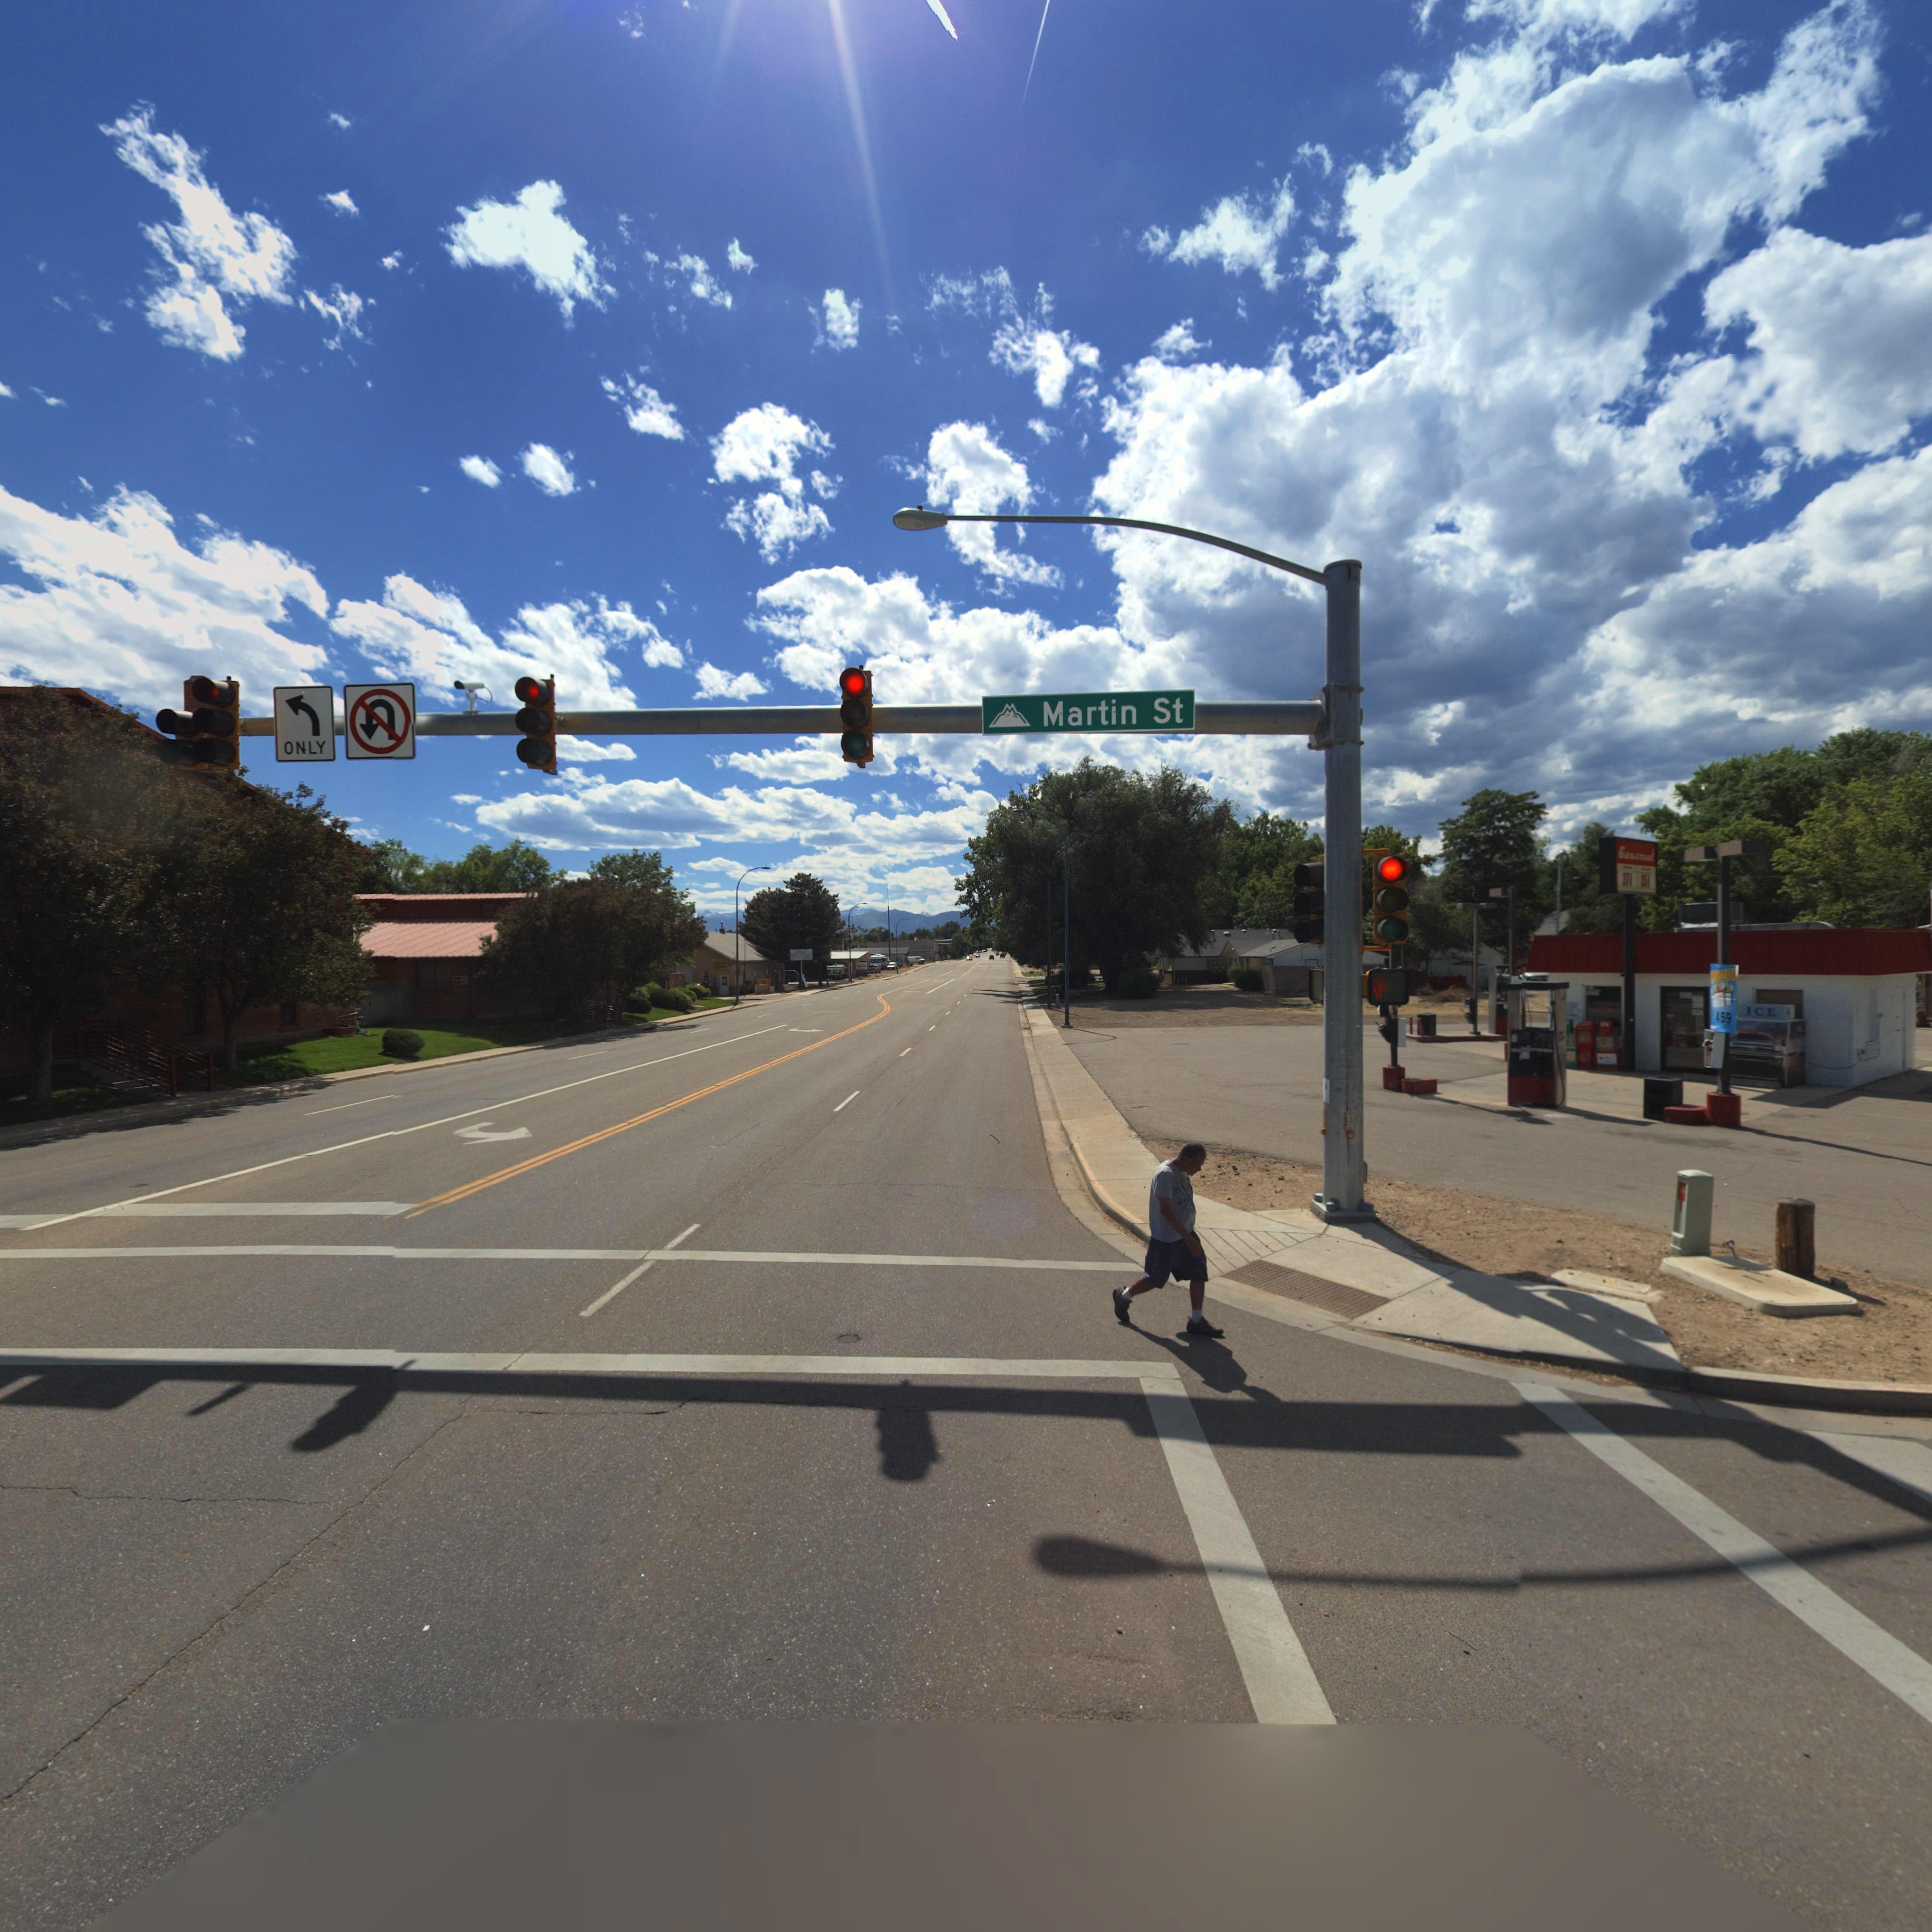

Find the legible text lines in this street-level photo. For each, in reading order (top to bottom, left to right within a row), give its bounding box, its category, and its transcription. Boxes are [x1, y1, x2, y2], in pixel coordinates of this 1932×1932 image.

[1042, 697, 1183, 727] StreetName: Martin St
[1617, 845, 1655, 862] BusinessName: Gasamat
[1679, 992, 1692, 999] StreetNumber: 301